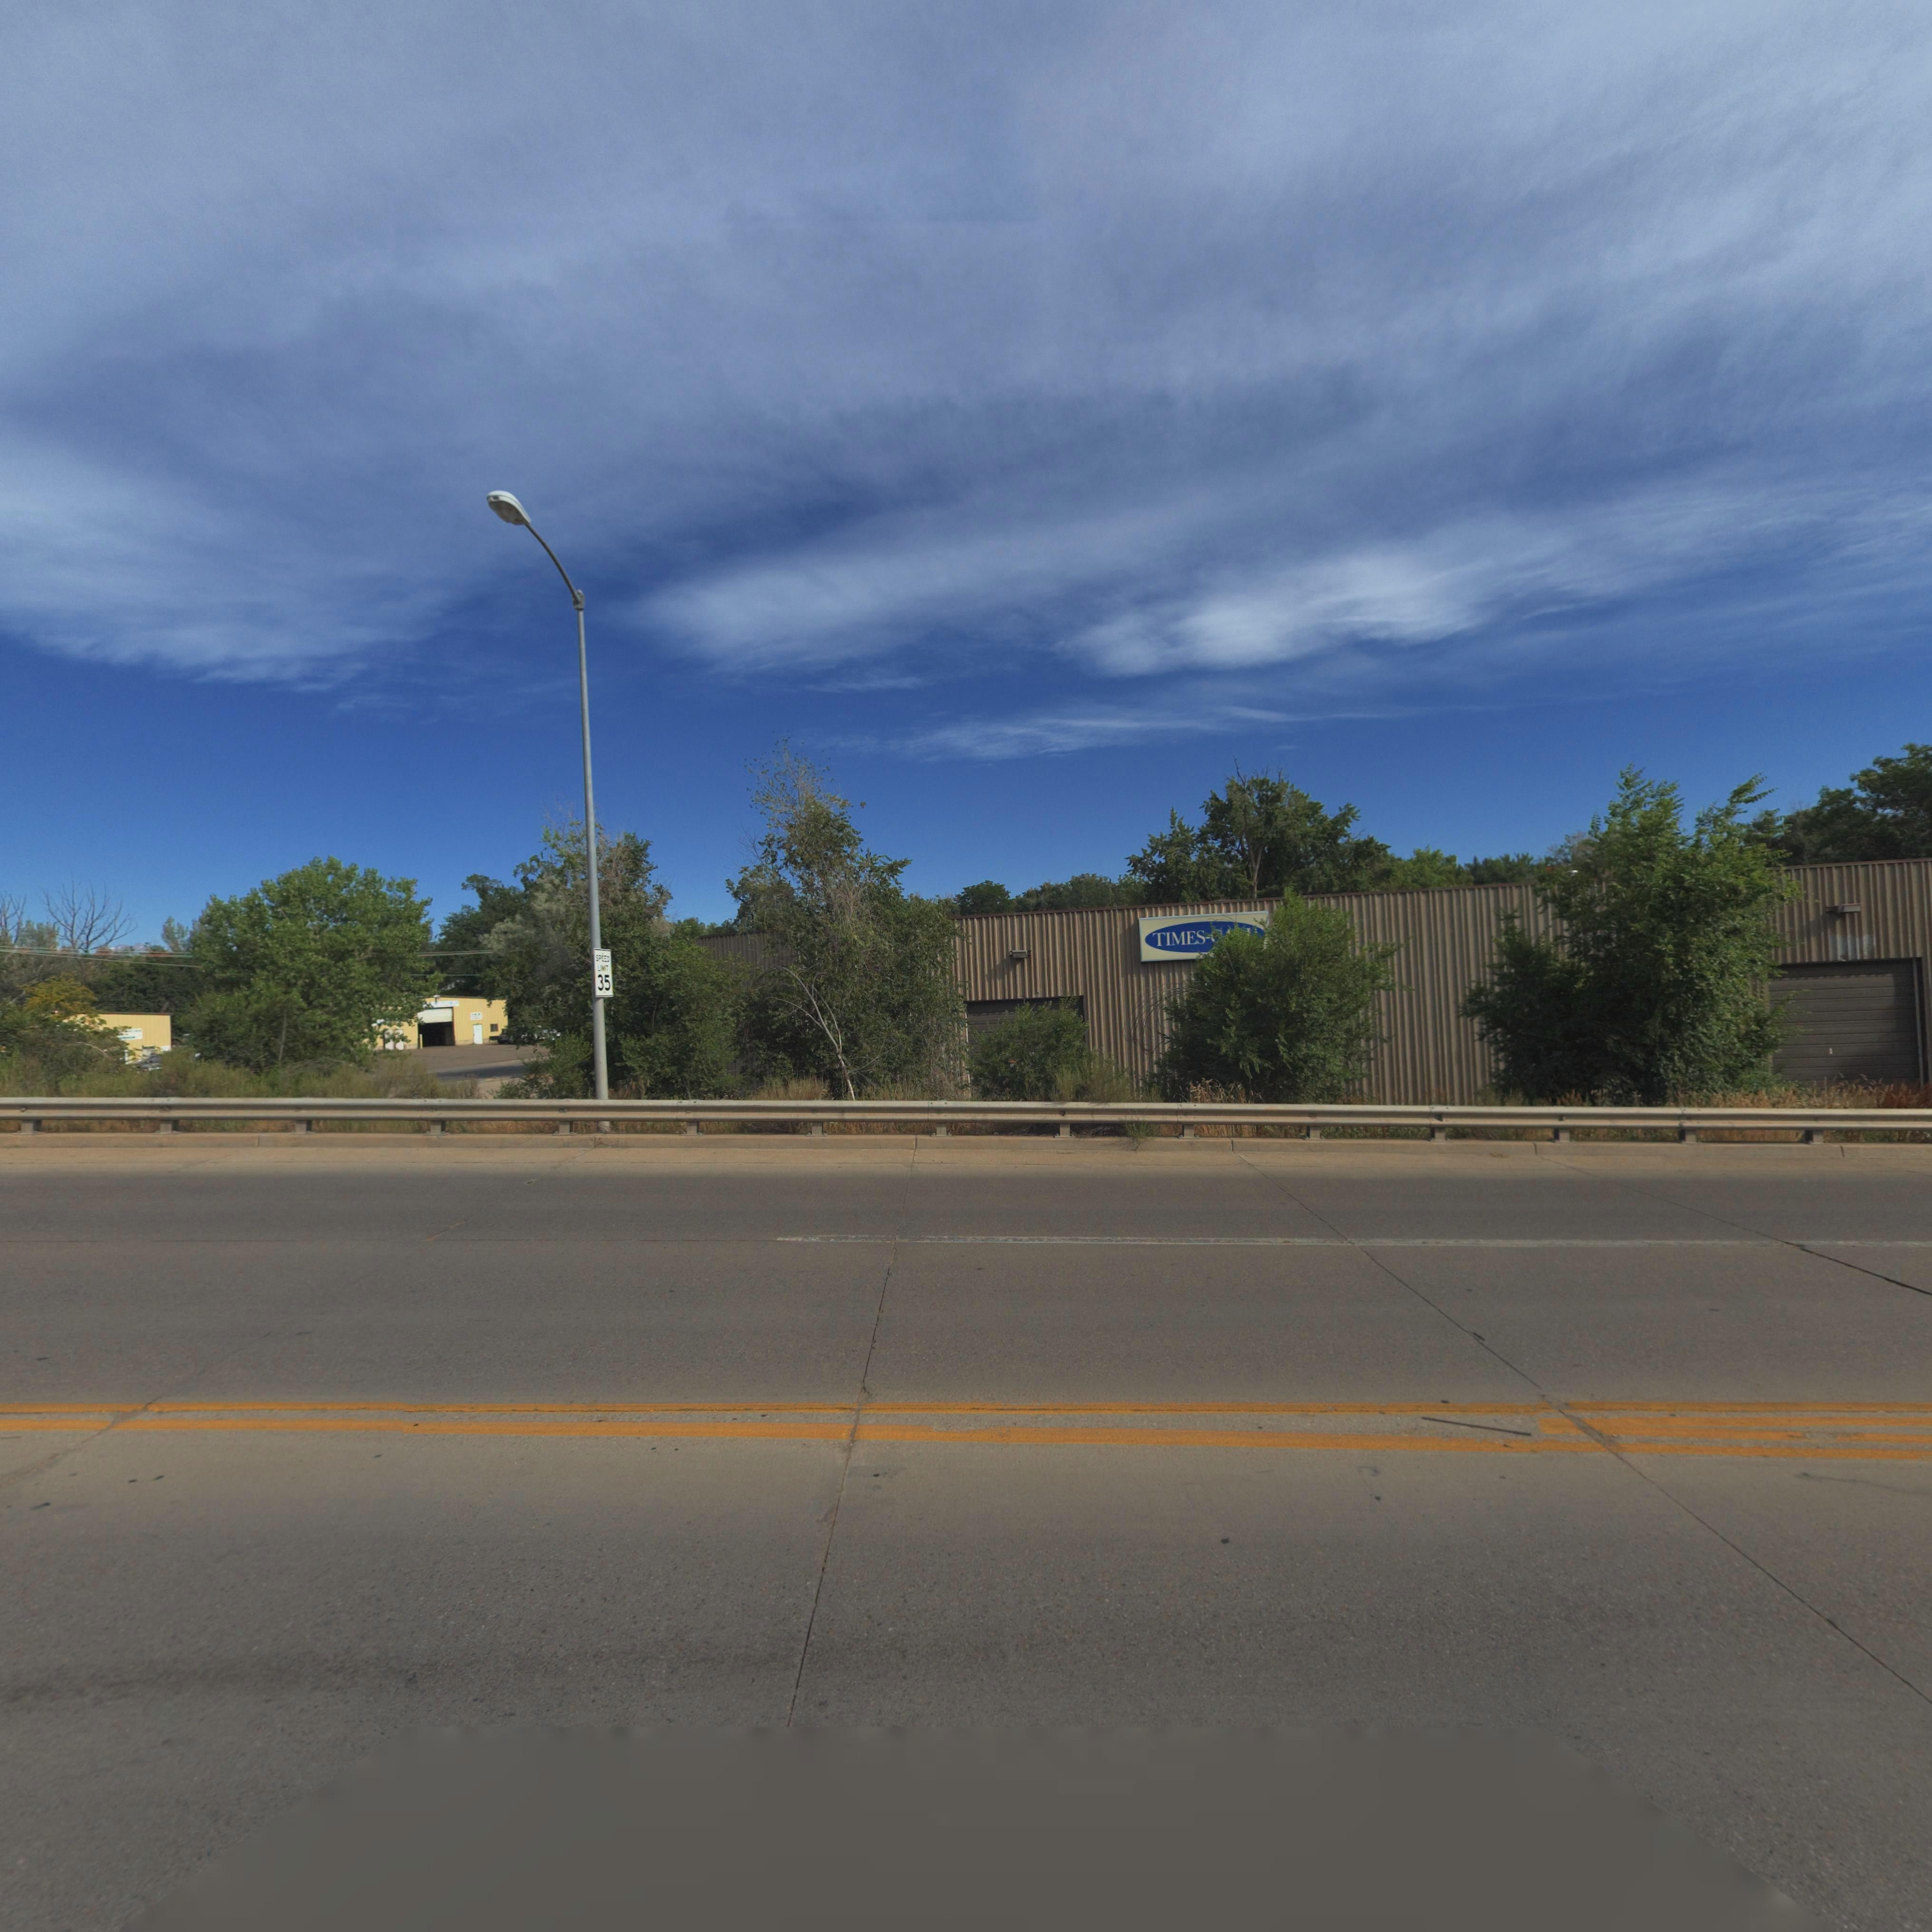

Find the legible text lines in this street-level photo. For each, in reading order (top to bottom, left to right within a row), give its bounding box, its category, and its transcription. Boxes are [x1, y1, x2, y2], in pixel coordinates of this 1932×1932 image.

[1151, 927, 1254, 947] BusinessName: TIMES*****